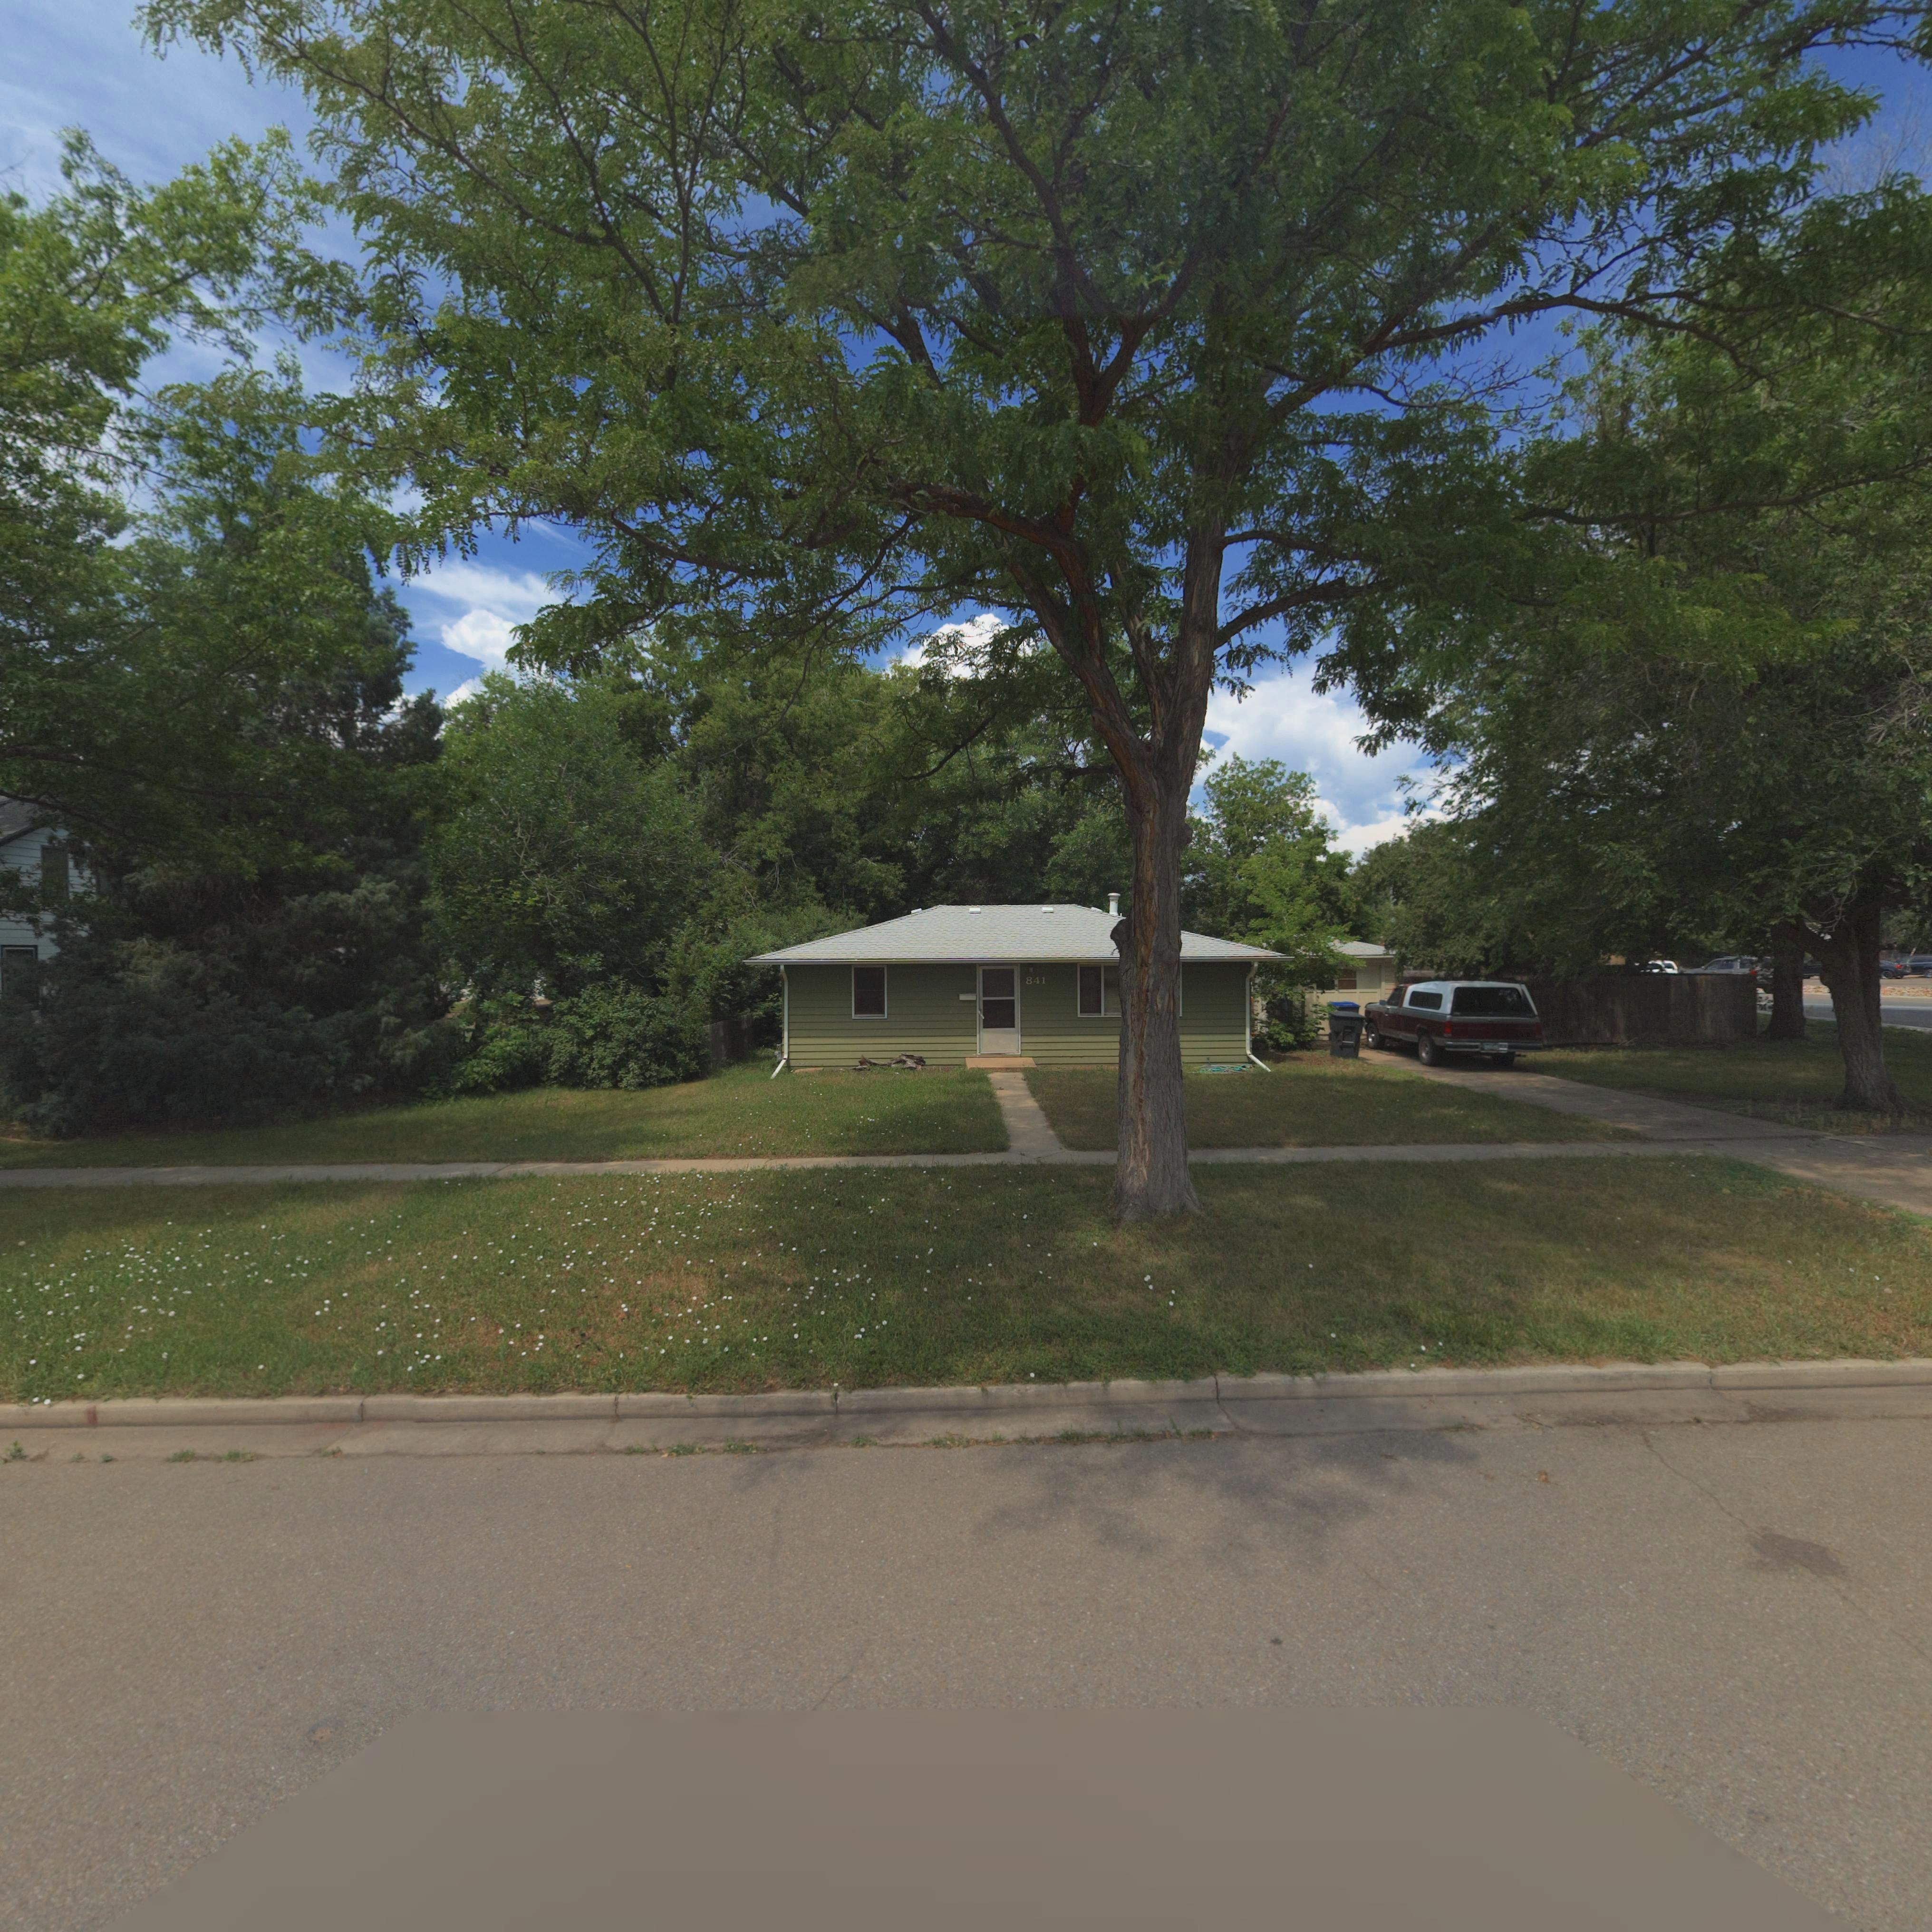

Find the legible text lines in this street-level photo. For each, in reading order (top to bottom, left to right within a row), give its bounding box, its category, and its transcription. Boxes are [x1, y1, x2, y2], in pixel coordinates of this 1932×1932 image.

[1025, 976, 1045, 984] StreetName: 841